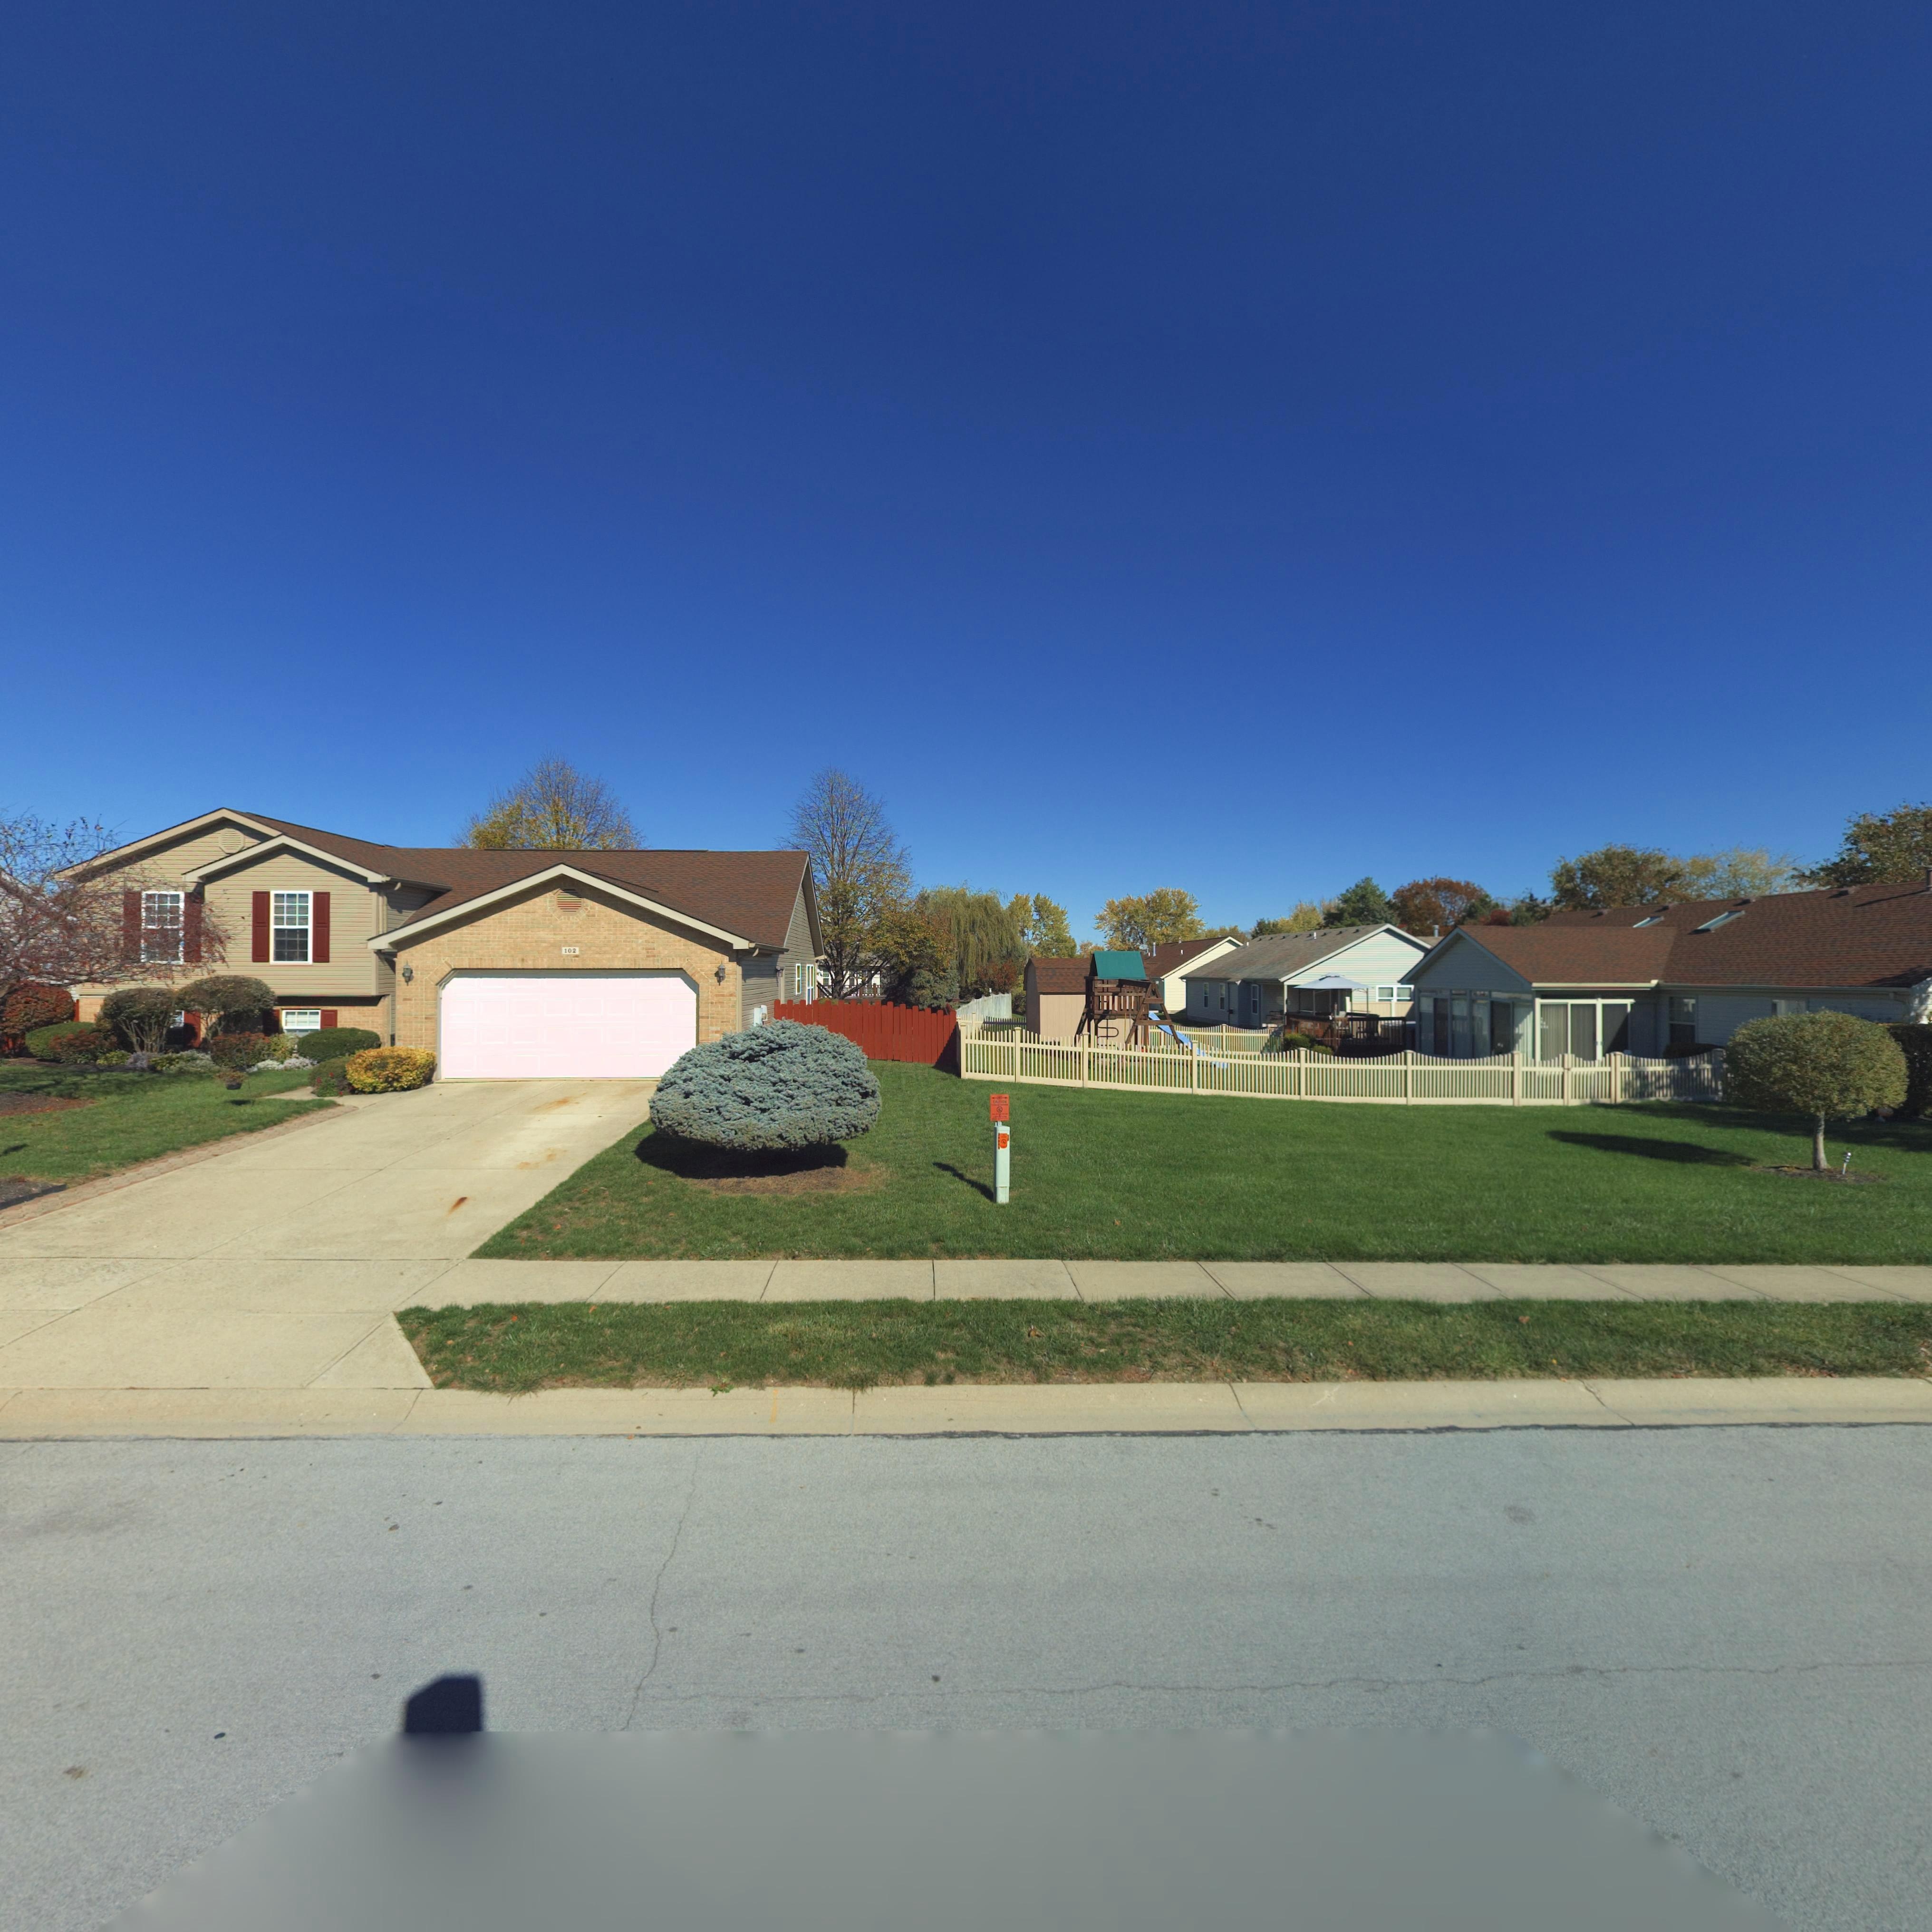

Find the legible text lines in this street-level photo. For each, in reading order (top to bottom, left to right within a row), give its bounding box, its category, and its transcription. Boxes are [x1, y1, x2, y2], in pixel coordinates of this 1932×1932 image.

[564, 948, 577, 953] StreetNumber: 102